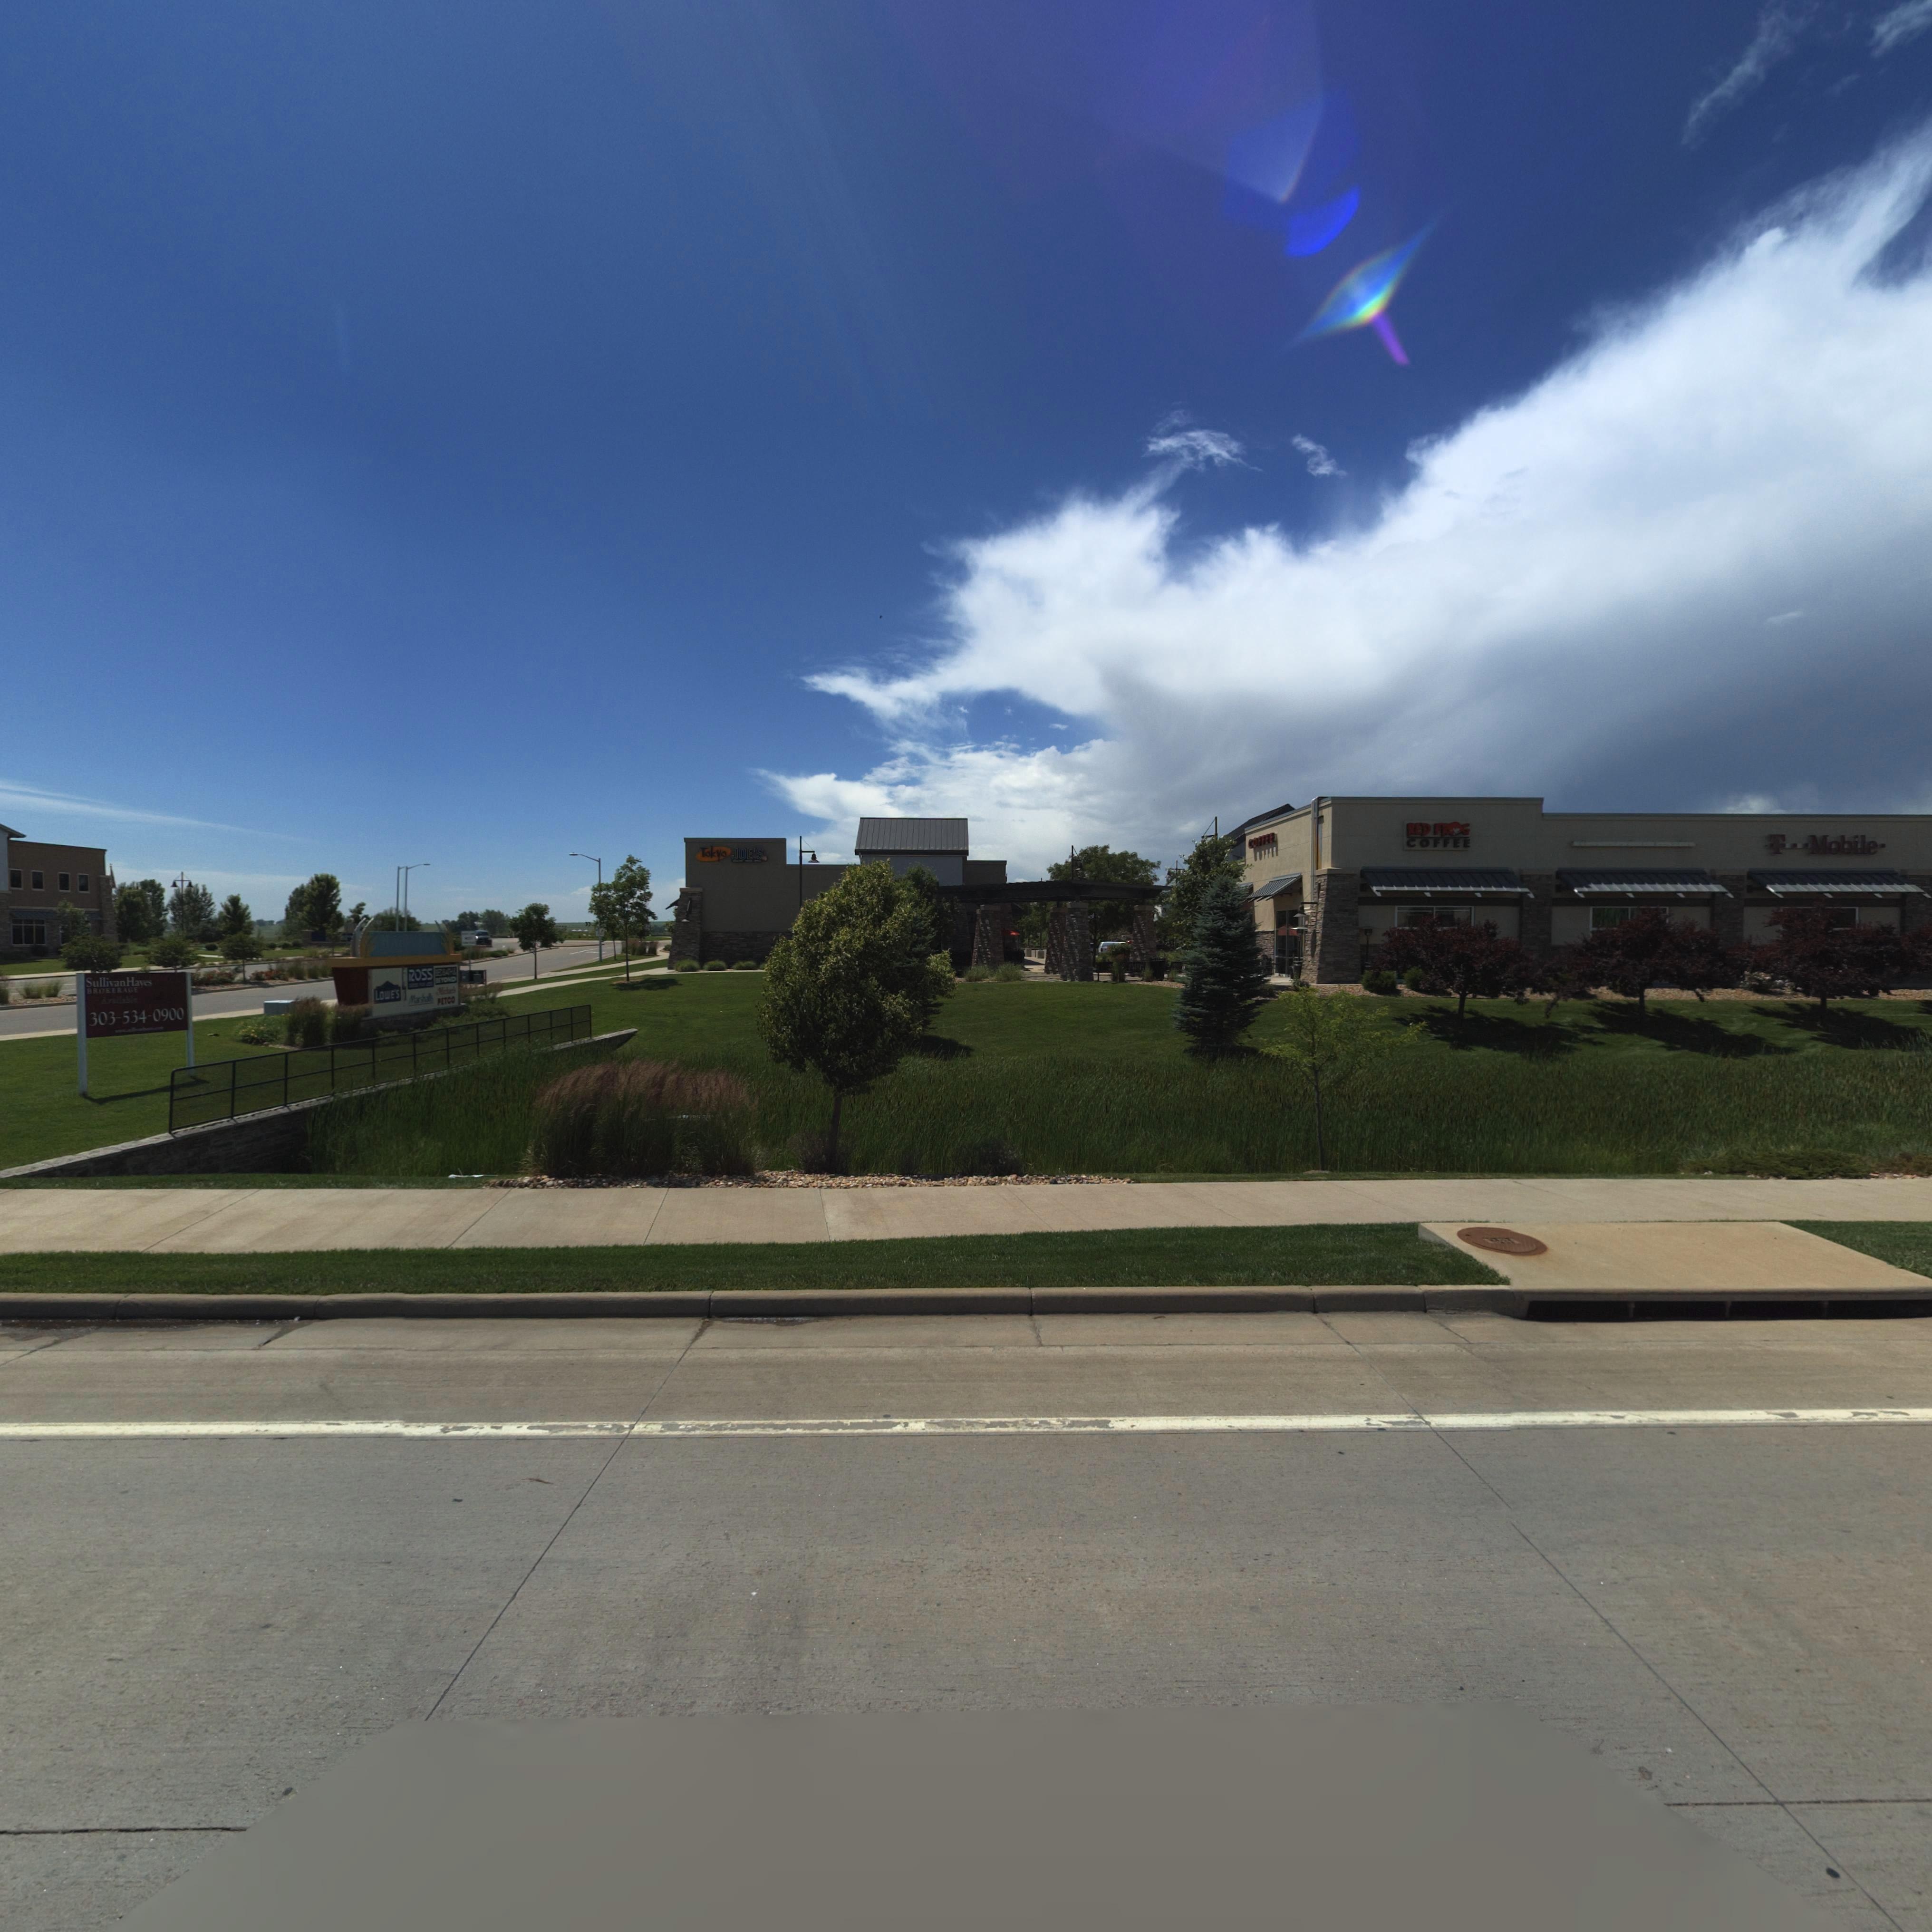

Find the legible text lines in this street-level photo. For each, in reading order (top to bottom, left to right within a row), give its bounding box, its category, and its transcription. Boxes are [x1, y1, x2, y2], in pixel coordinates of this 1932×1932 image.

[1406, 820, 1471, 837] BusinessName: RED FROG
[1406, 837, 1471, 849] BusinessName: COFFEE
[1767, 833, 1879, 856] BusinessName: T Mobile
[699, 844, 764, 862] BusinessName: Tokyo JOE*S
[407, 968, 434, 982] BusinessName: ROSS
[434, 967, 457, 976] BusinessName: BE* BATH *
[435, 976, 457, 984] BusinessName: BEYOND
[375, 988, 400, 1001] BusinessName: LOWE*S
[406, 992, 434, 1005] BusinessName: Marshal*s
[435, 985, 456, 996] BusinessName: M*ch*el*s
[436, 995, 456, 1006] BusinessName: PETCO